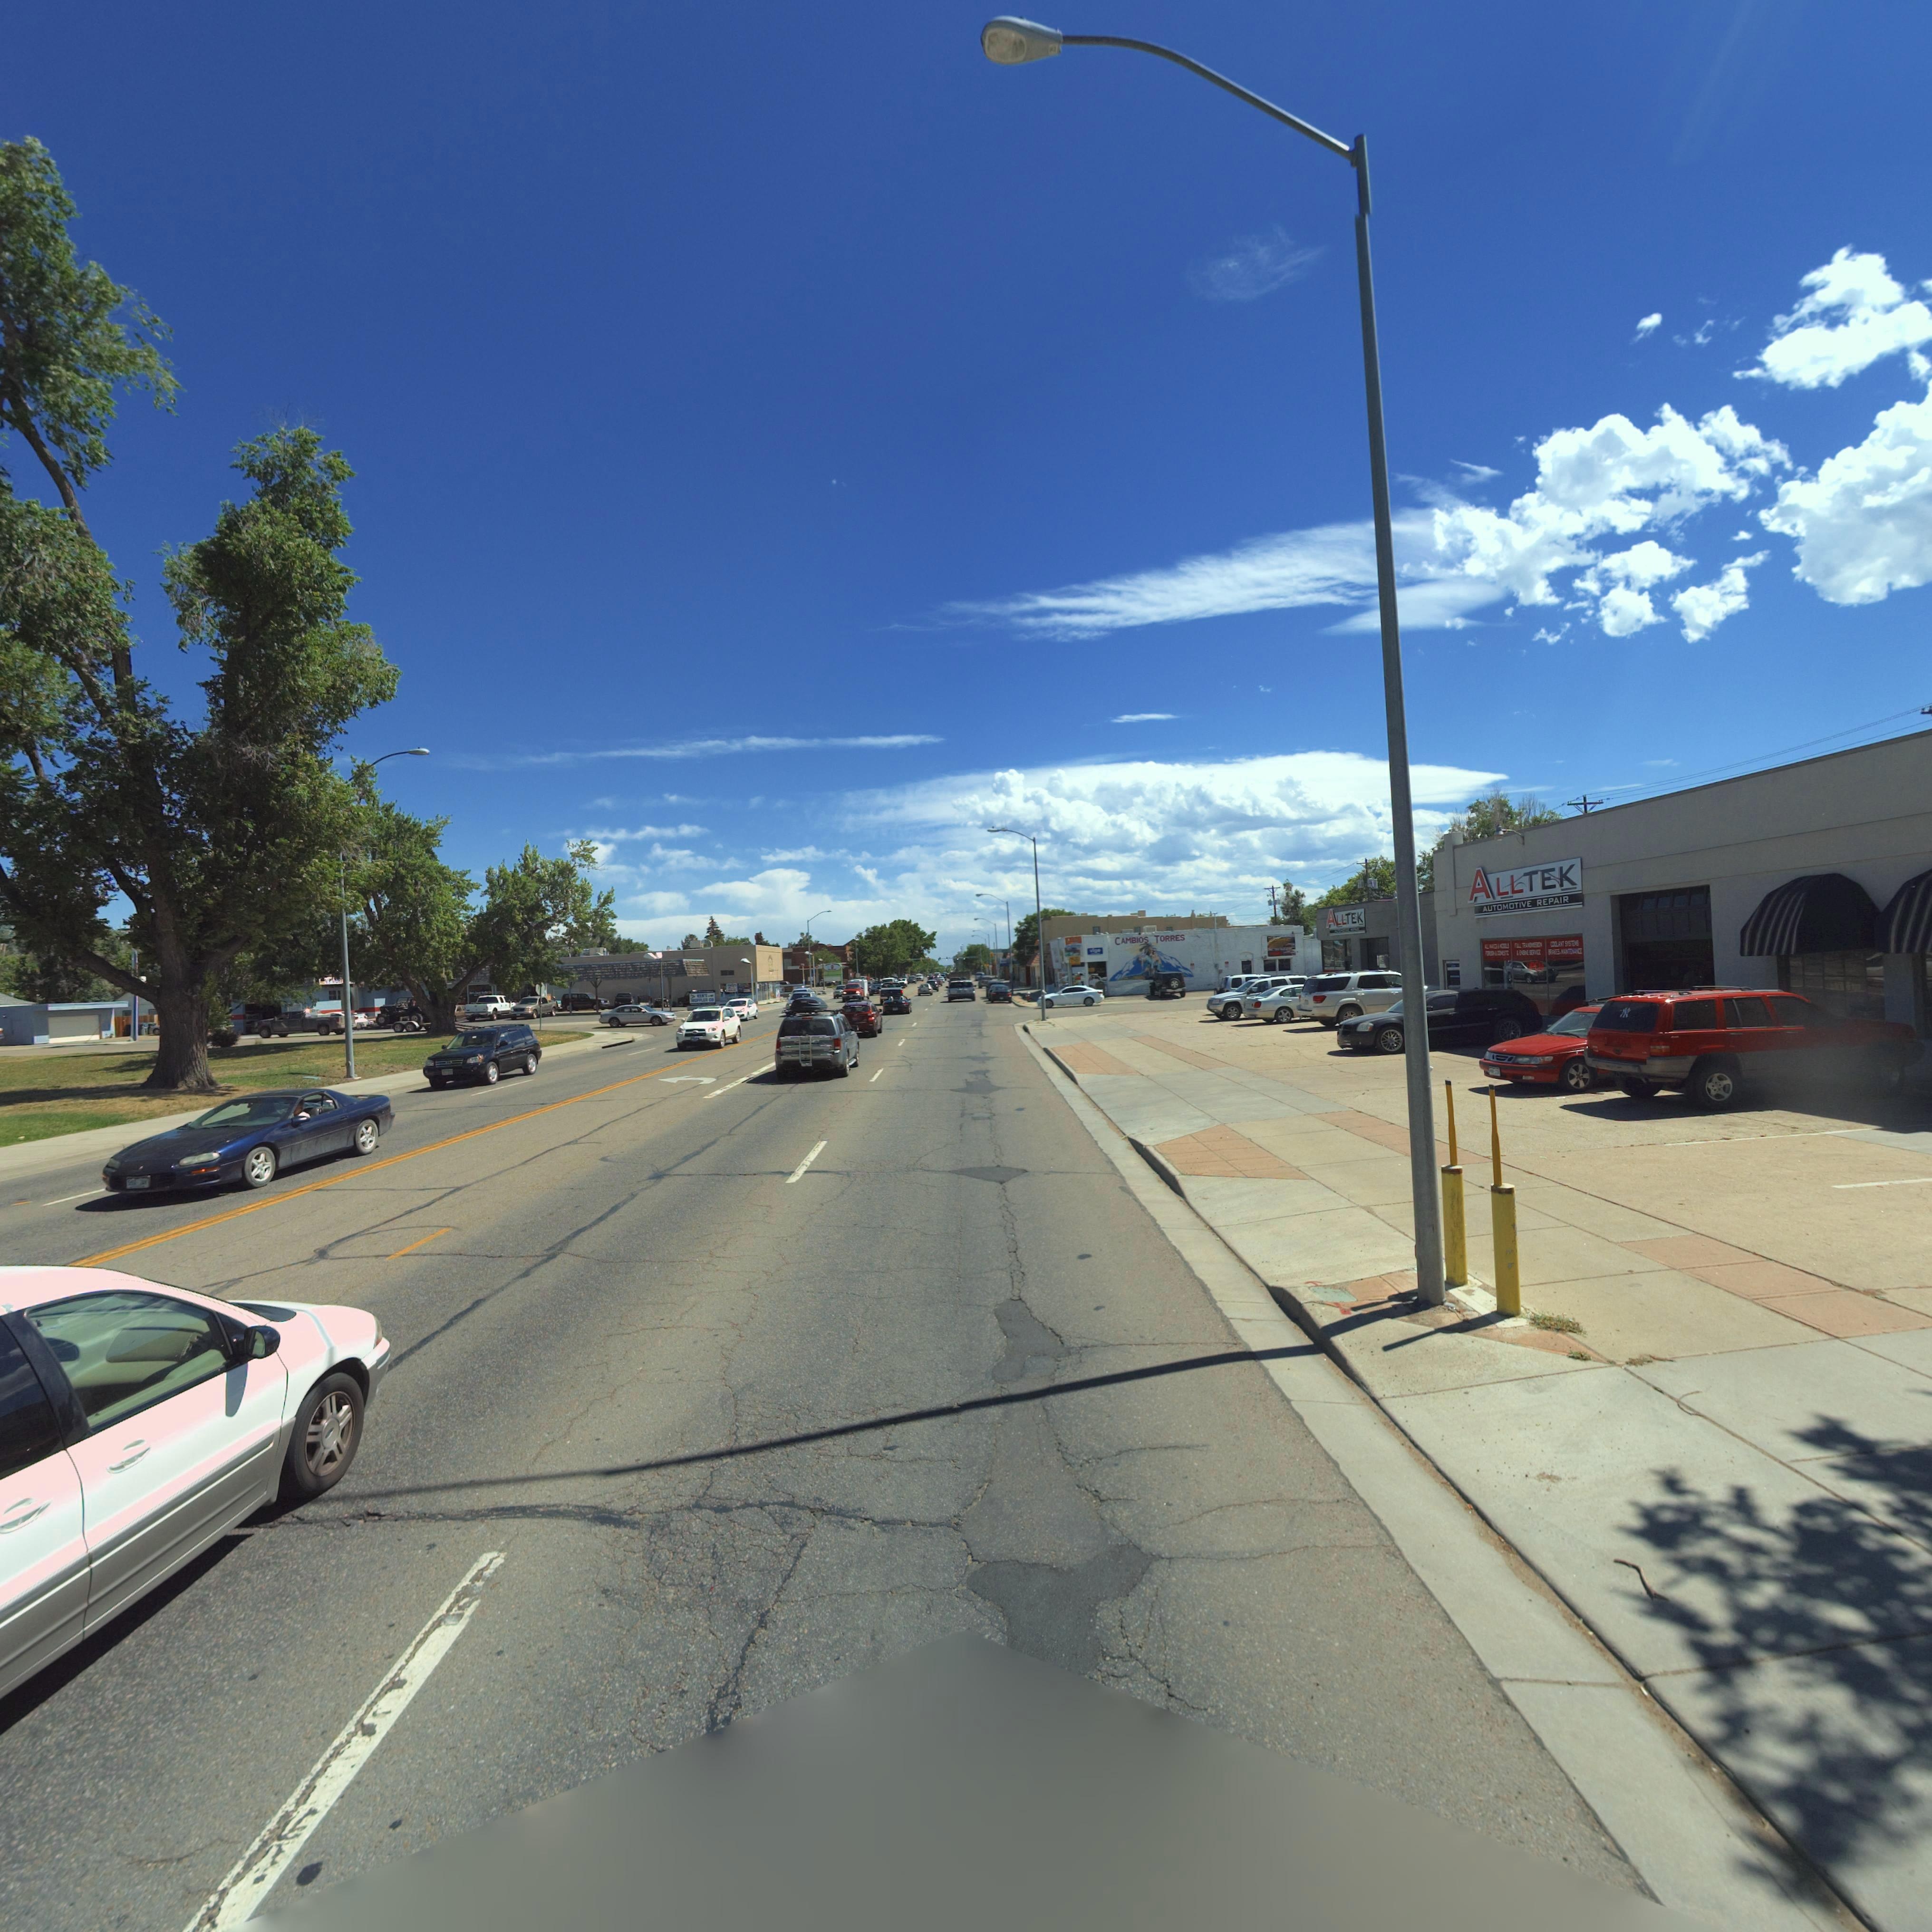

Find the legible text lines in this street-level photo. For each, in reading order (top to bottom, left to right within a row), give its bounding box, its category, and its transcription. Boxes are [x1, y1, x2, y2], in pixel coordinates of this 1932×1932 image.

[1468, 863, 1579, 902] BusinessName: ALLTEK
[1482, 895, 1569, 912] BusinessName: AUTOMOTIVE REPAIR
[1326, 909, 1363, 927] BusinessName: ALL TEK
[1115, 934, 1185, 945] BusinessName: CAMBIOS TORRES
[696, 994, 707, 997] BusinessName: **N'S
[691, 997, 714, 1003] BusinessName: MUFFLER CO